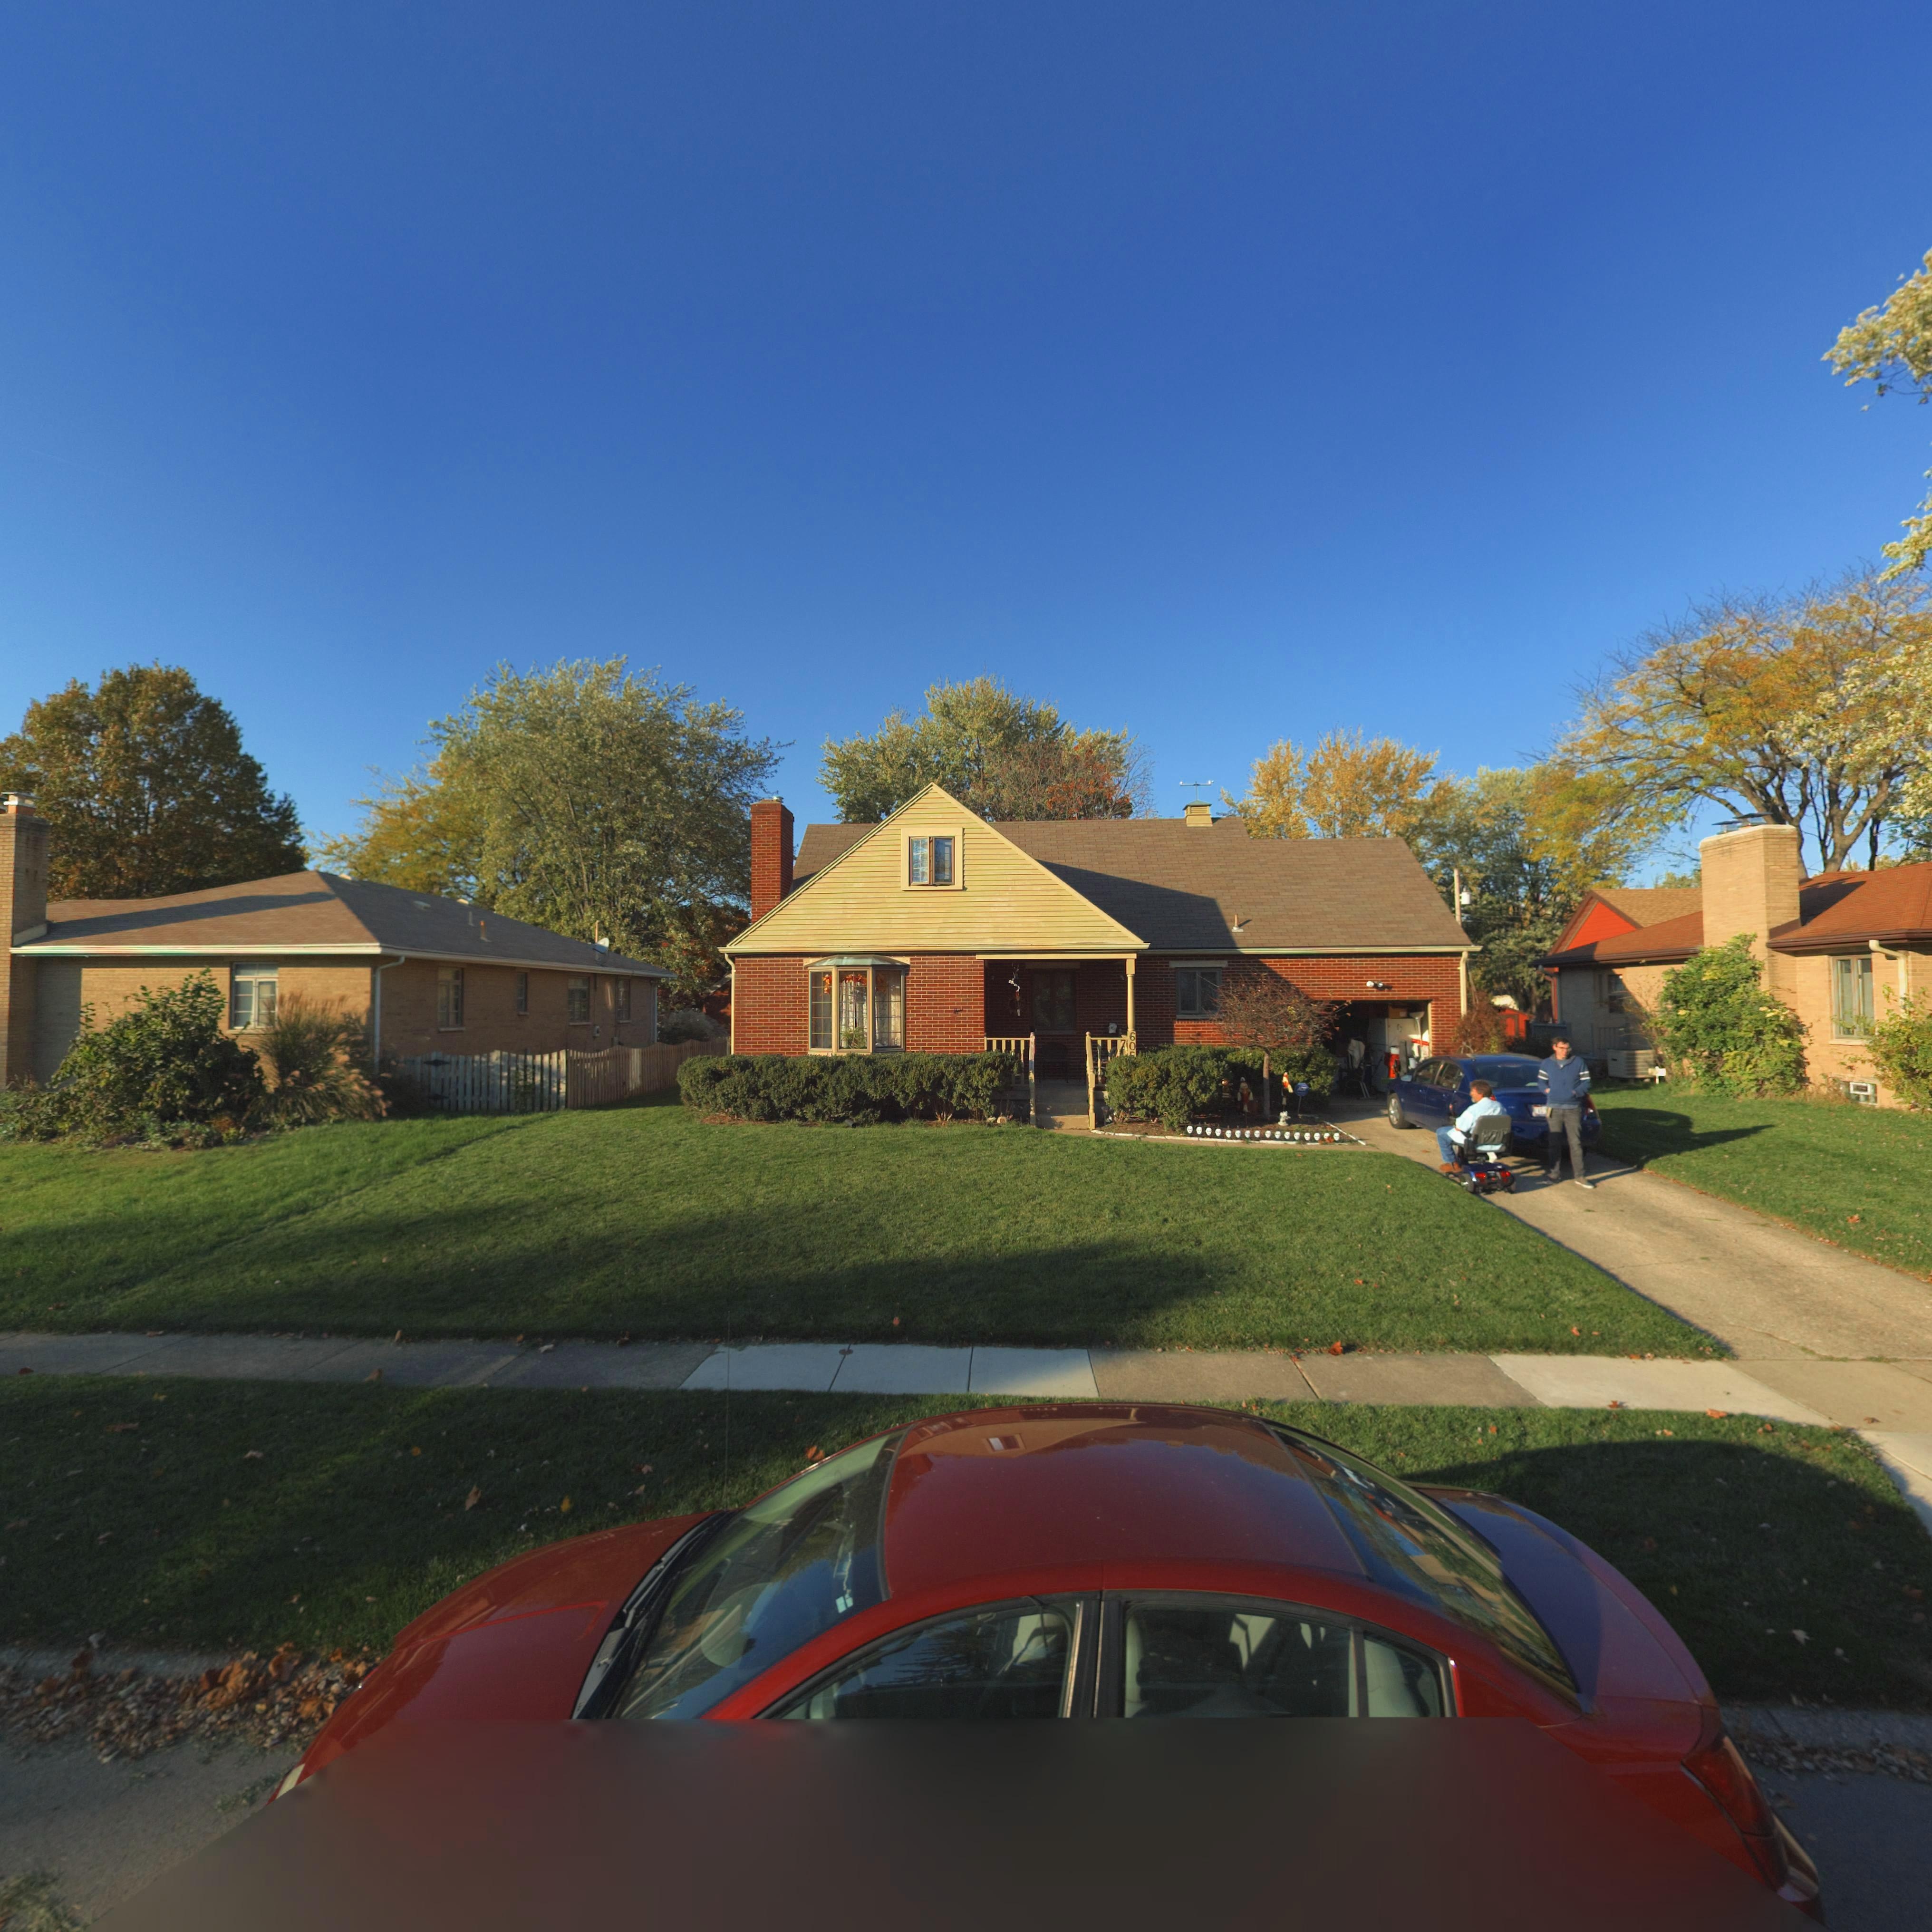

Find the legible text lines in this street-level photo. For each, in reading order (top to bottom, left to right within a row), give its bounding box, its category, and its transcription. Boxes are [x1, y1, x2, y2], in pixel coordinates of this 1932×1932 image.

[1129, 1032, 1136, 1051] StreetNumber: 60